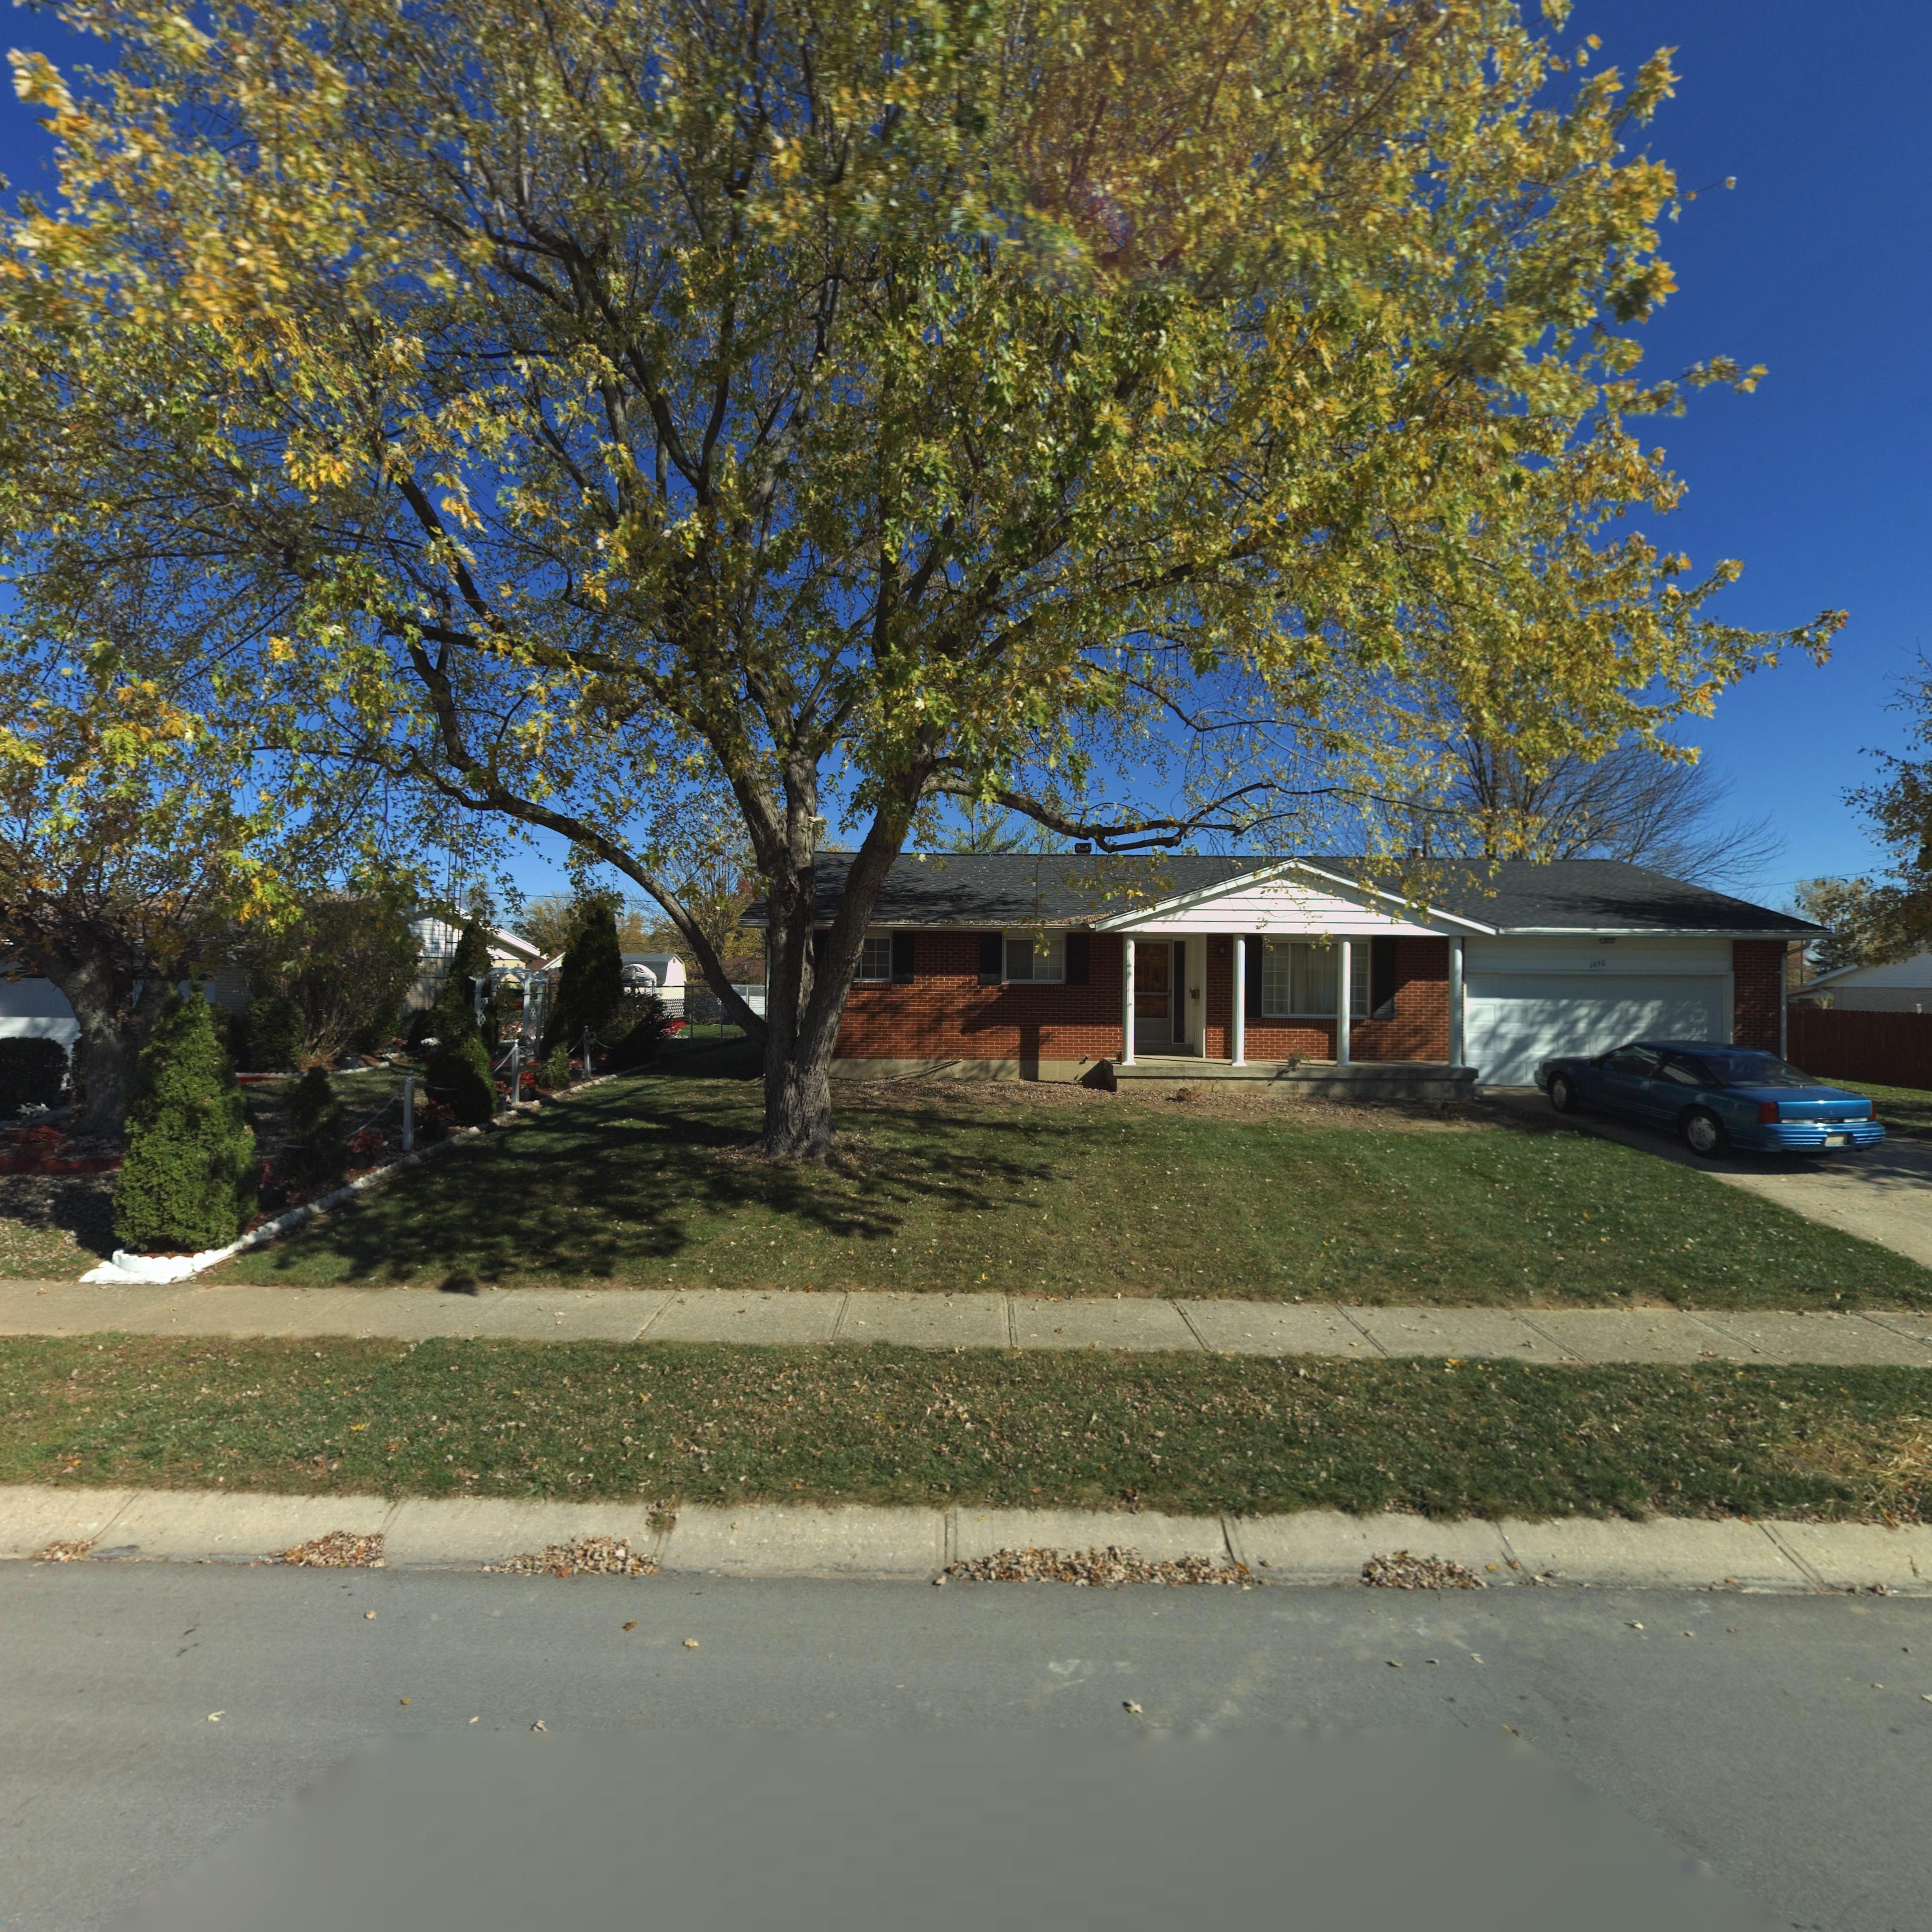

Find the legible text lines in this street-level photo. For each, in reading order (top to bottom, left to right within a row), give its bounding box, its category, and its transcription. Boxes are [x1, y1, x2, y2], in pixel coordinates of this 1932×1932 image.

[1588, 958, 1607, 970] StreetNumber: 10*0